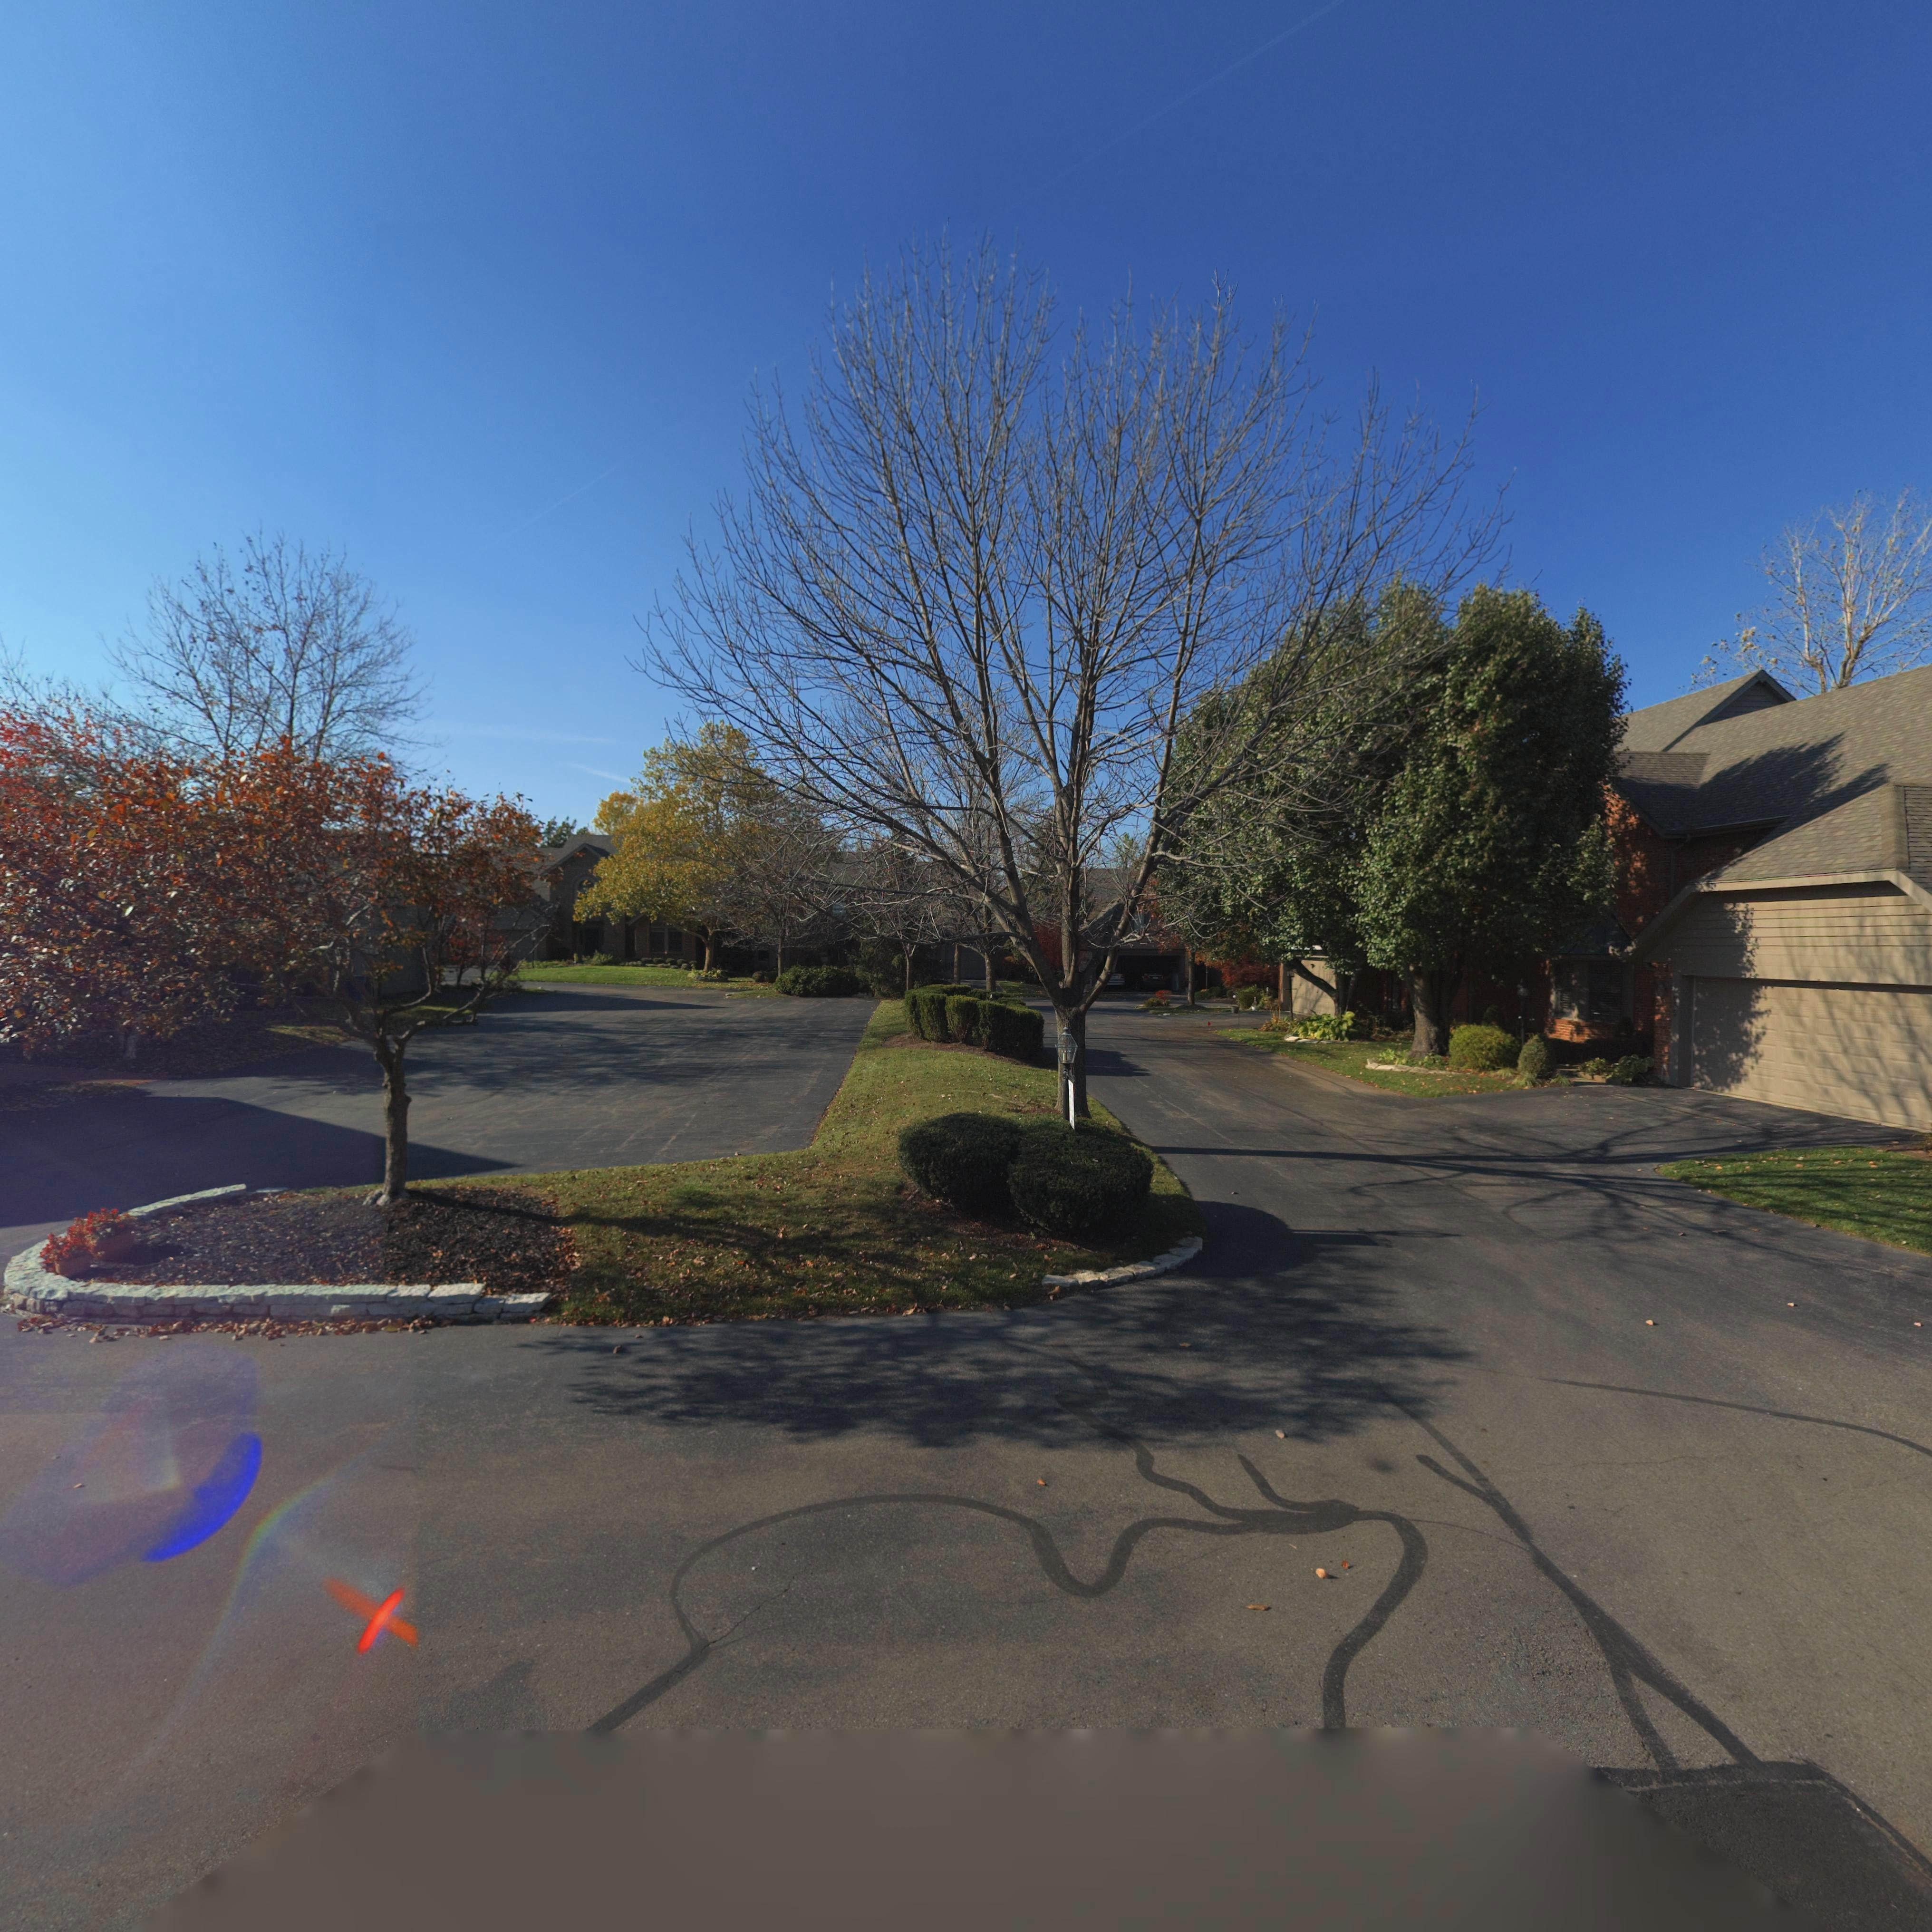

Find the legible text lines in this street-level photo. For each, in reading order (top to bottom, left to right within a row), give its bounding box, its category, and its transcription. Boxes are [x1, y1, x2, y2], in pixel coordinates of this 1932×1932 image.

[1672, 1009, 1677, 1017] StreetNumber: 5